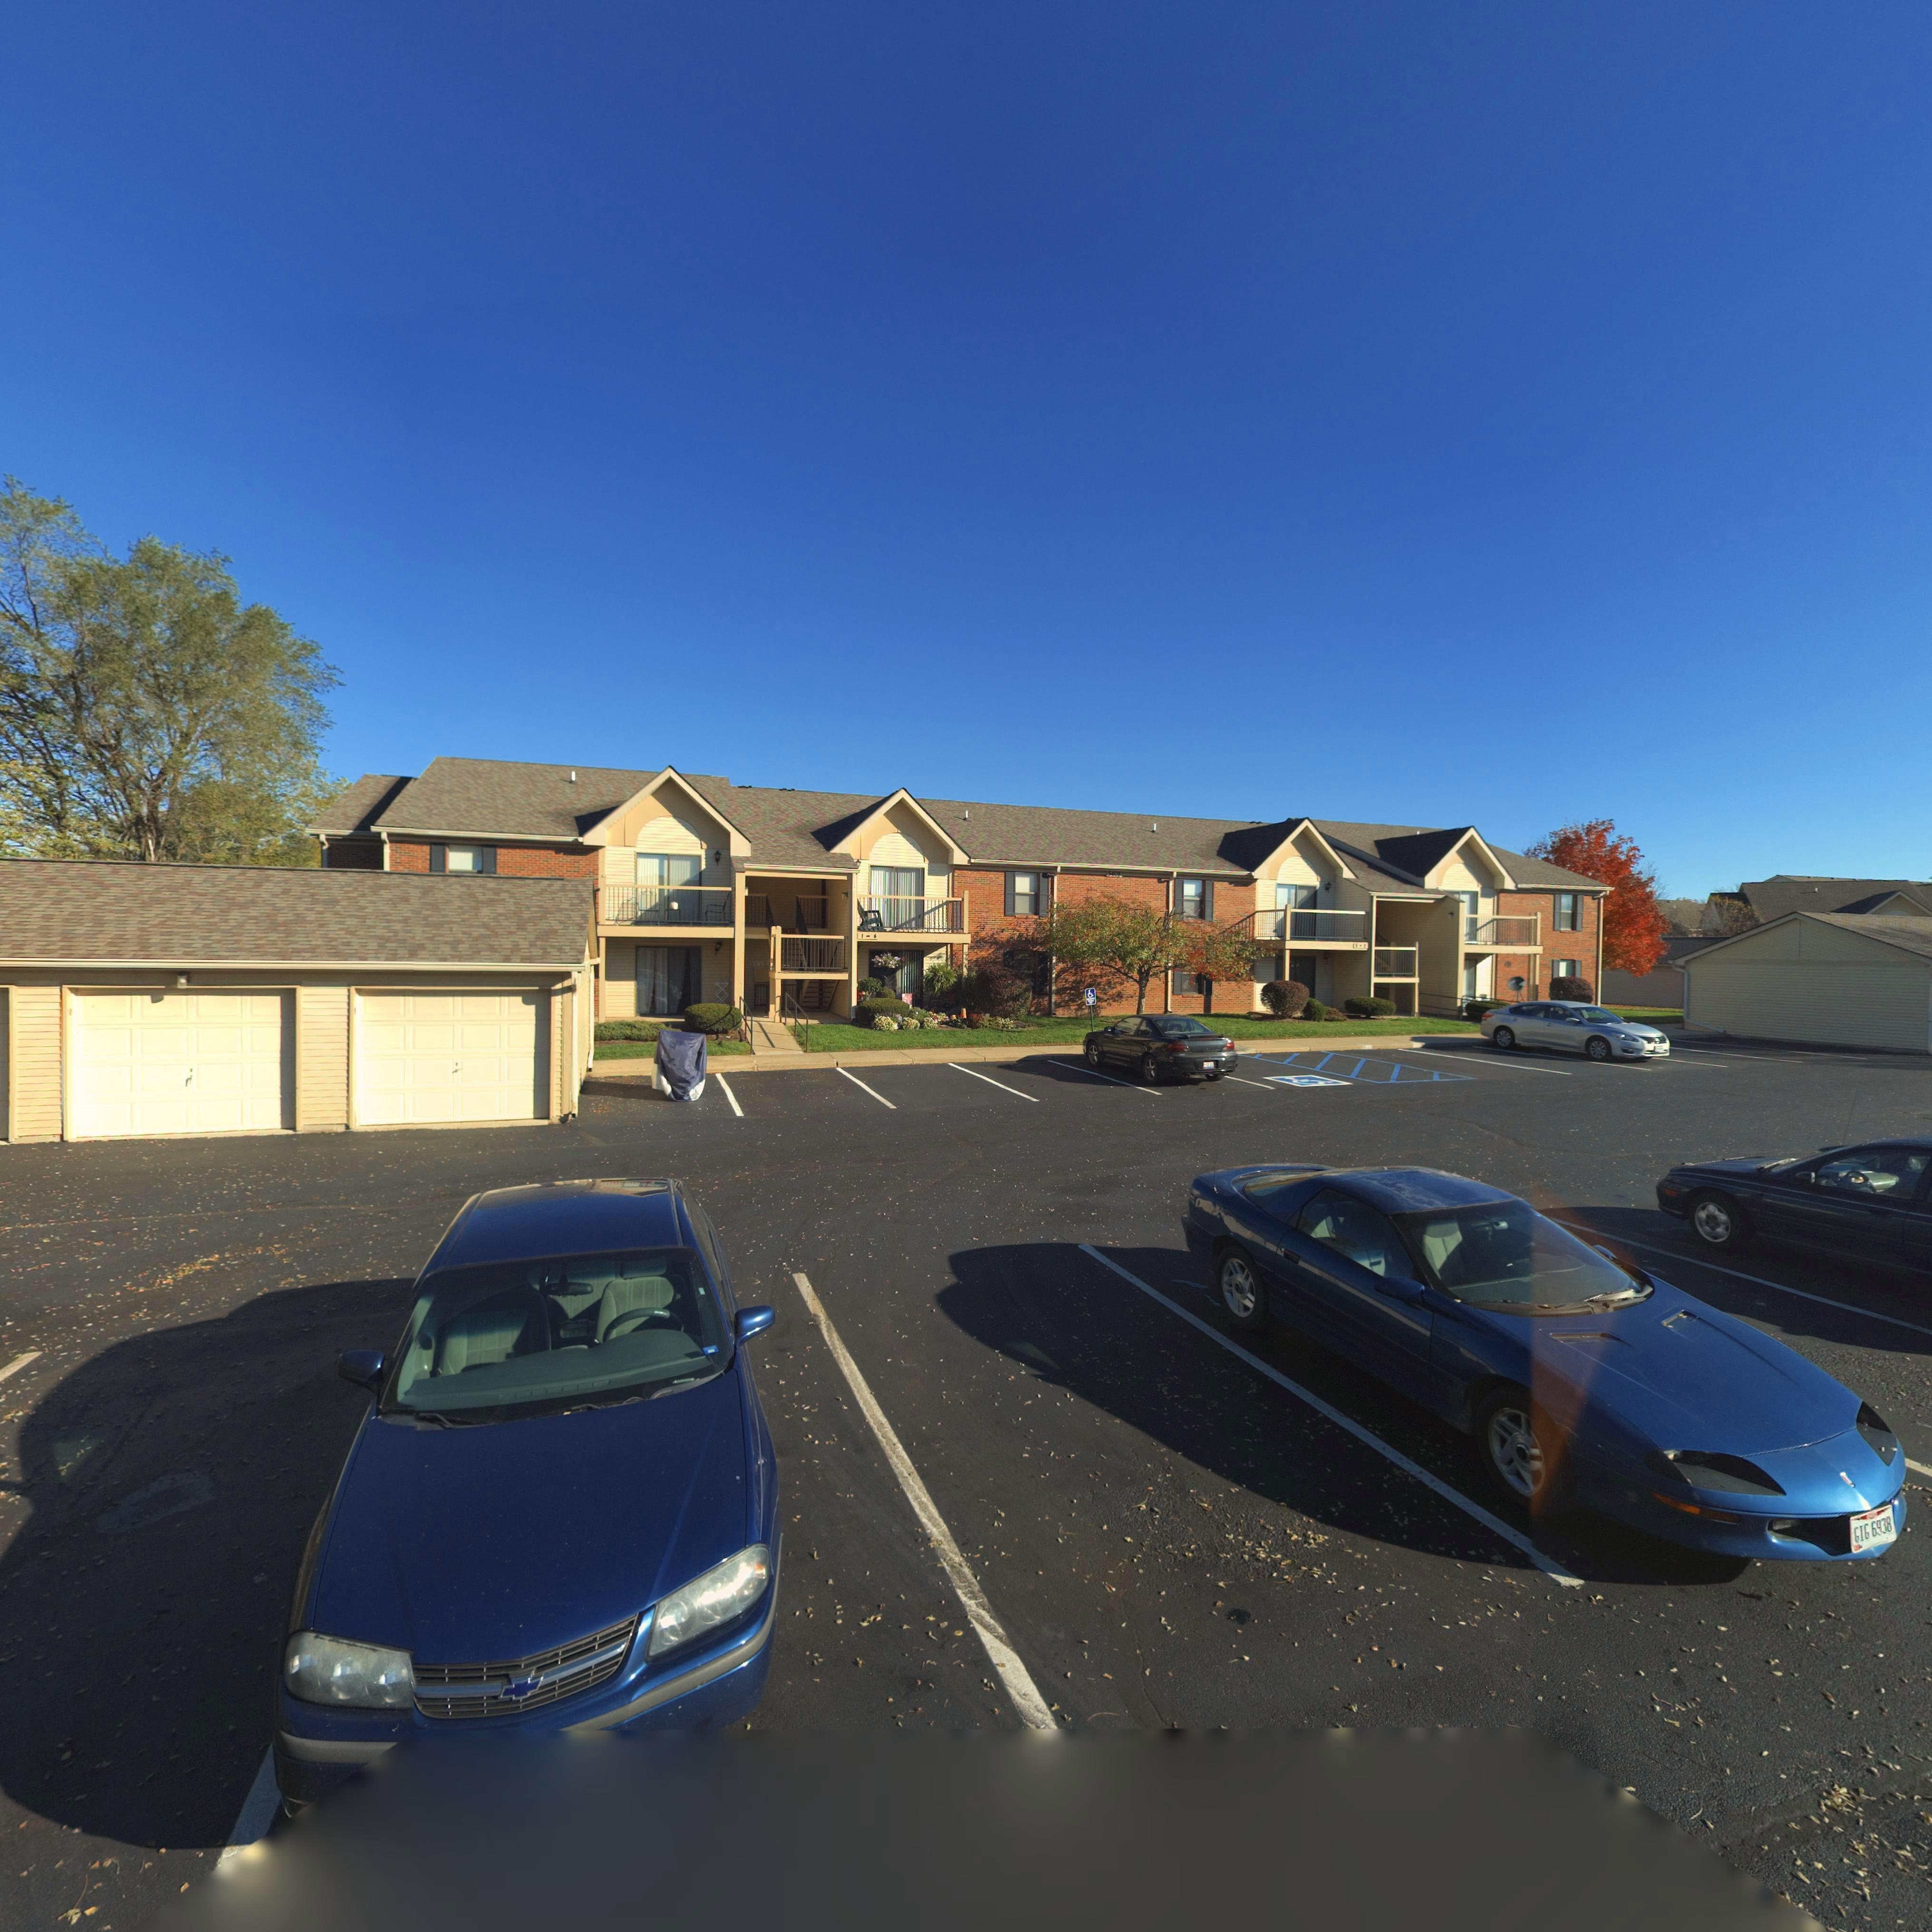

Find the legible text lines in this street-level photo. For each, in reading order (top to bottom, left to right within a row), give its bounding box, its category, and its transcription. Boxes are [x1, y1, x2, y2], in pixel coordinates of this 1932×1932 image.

[861, 933, 878, 939] StreetNumber: 1-4
[1354, 943, 1366, 948] StreetNumber: 5-8